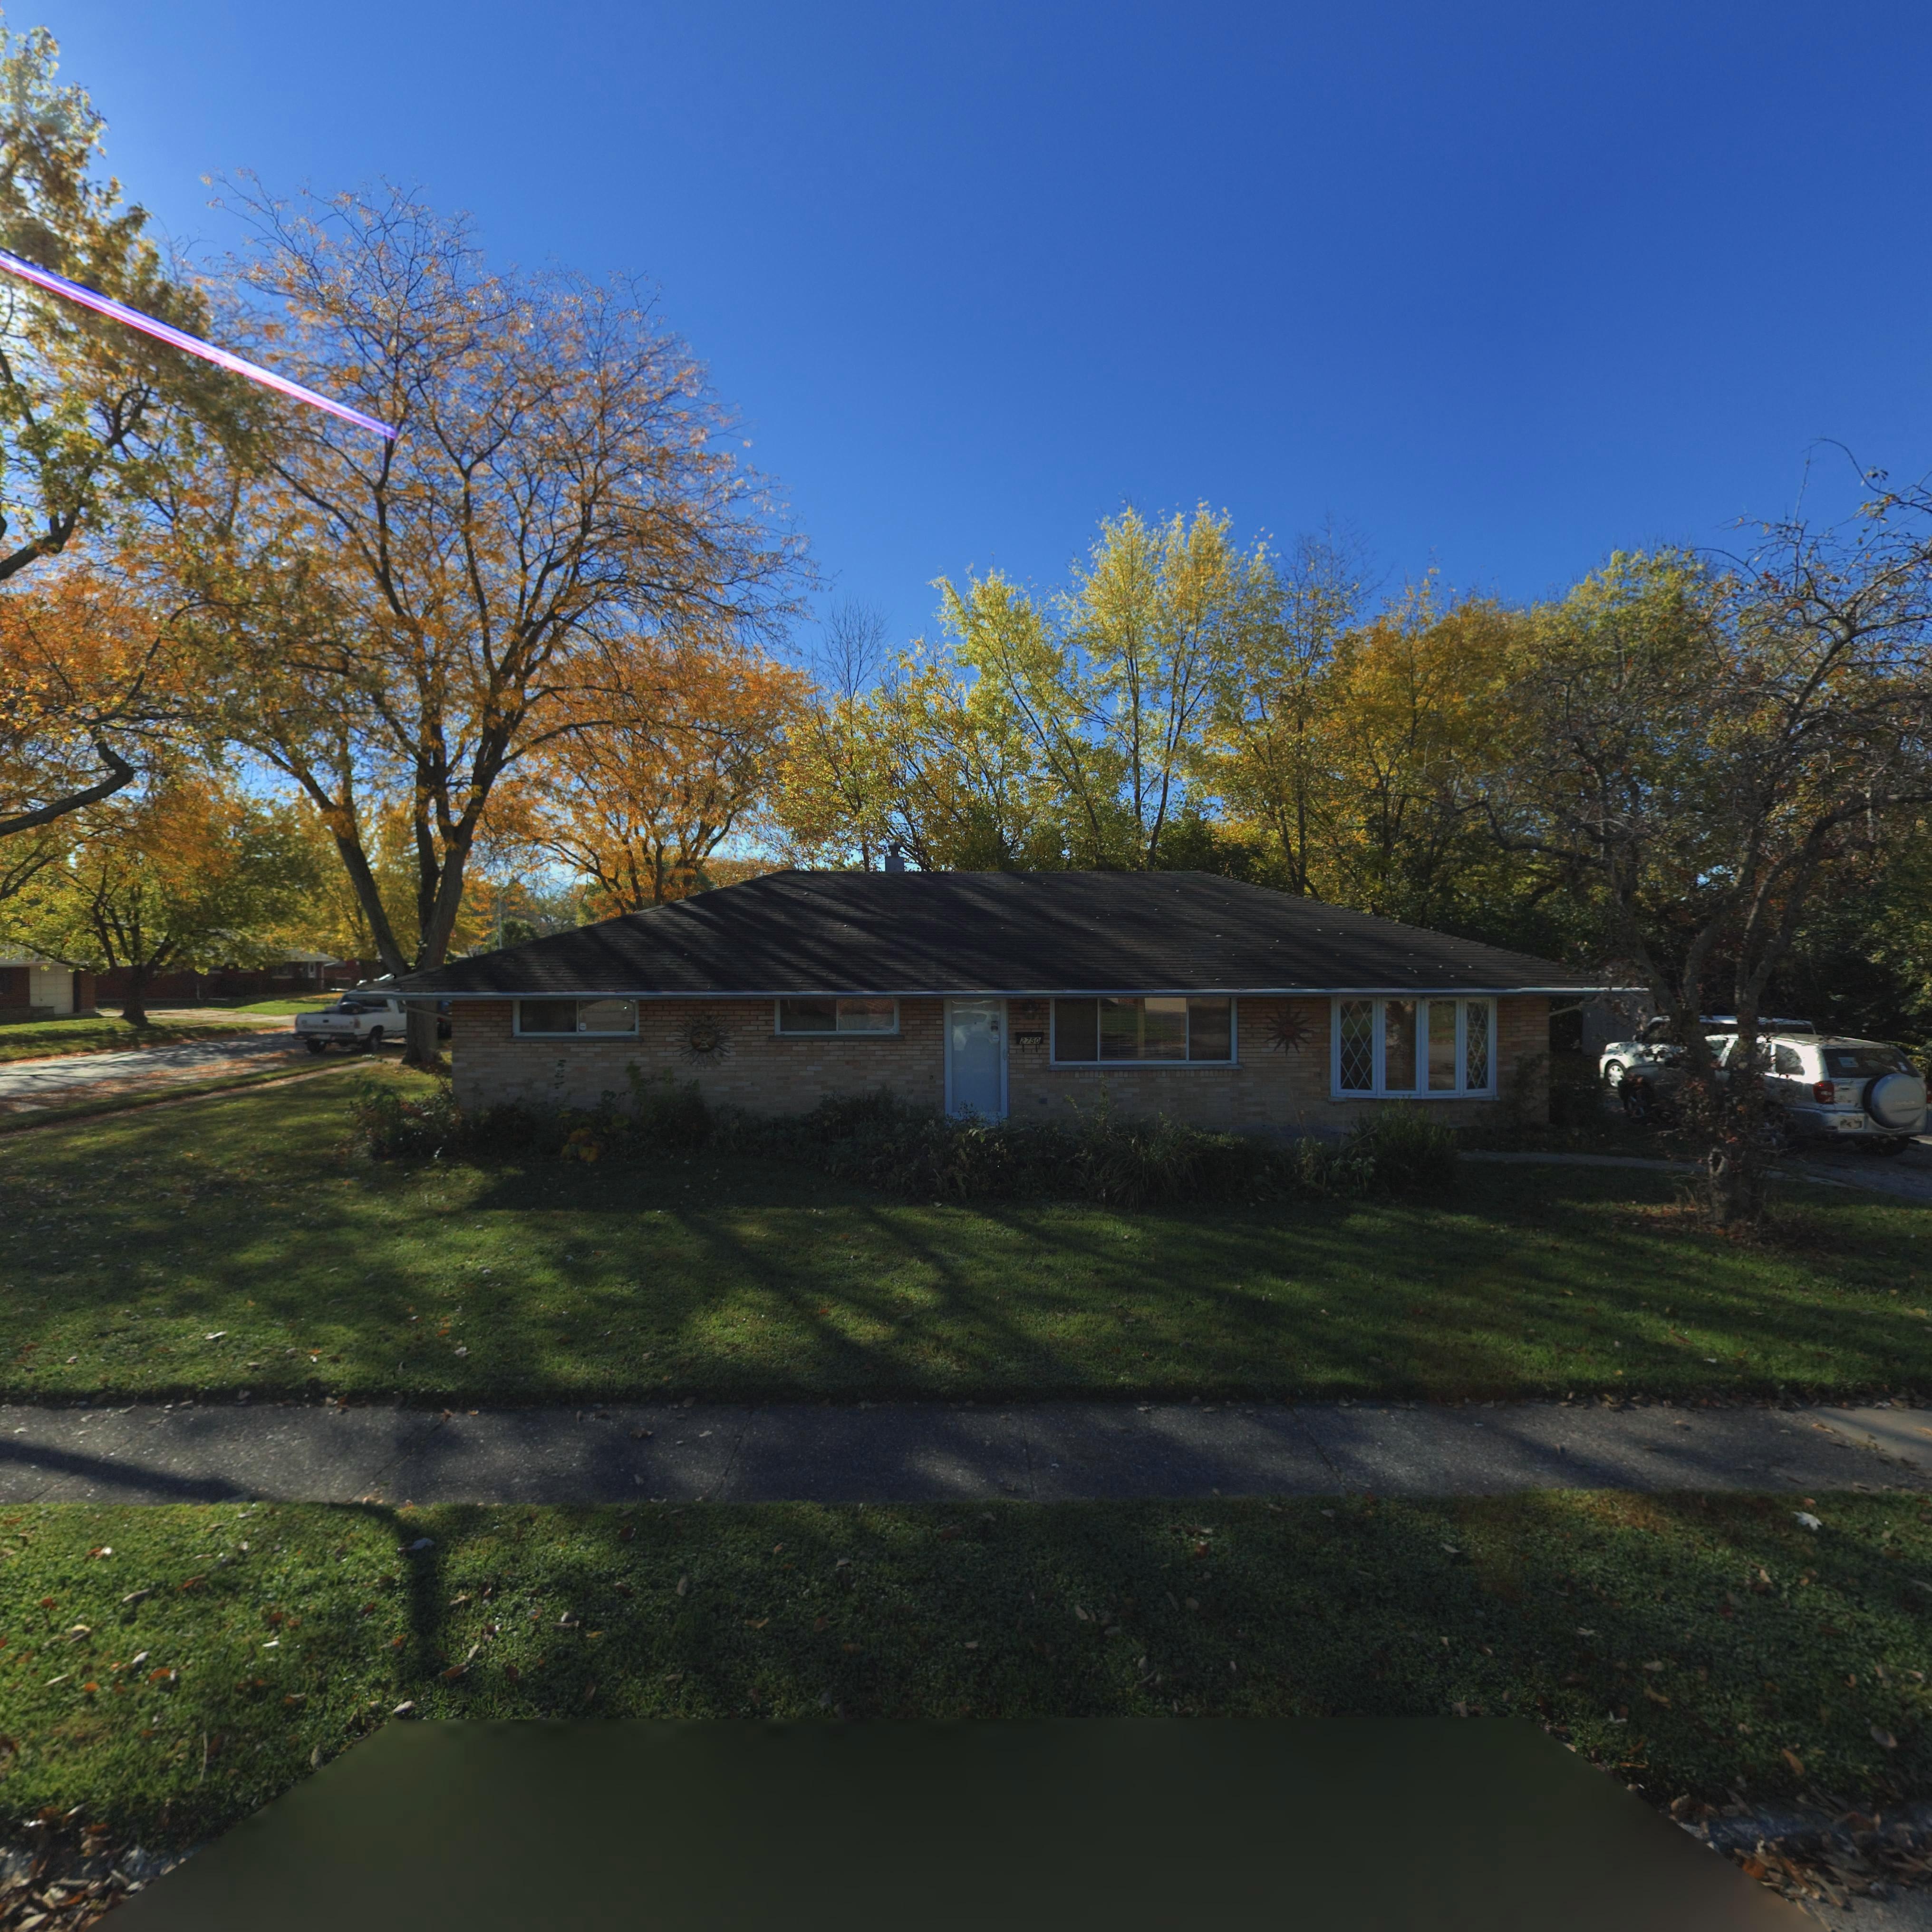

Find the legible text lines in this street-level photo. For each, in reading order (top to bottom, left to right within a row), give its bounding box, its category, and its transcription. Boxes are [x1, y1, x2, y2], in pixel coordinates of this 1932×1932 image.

[1020, 1037, 1040, 1044] StreetNumber: 2750